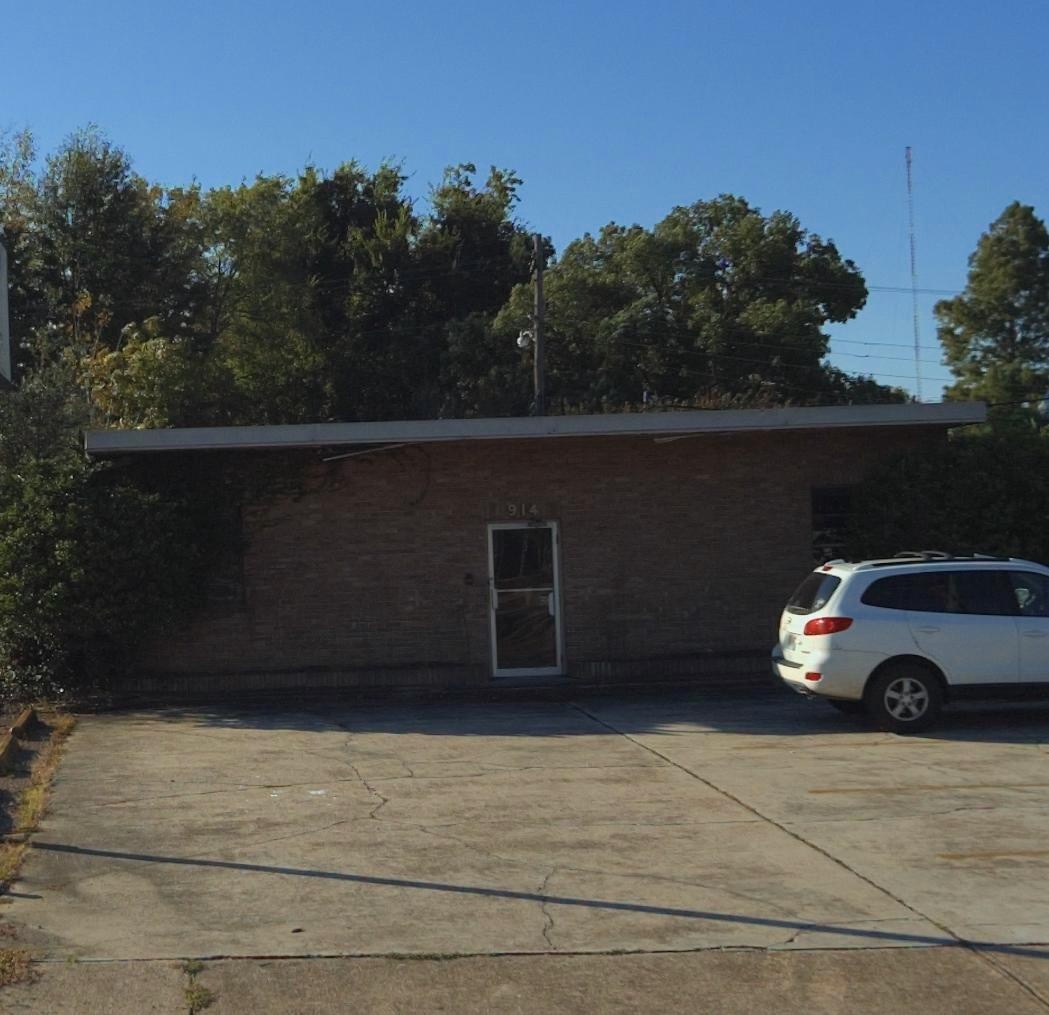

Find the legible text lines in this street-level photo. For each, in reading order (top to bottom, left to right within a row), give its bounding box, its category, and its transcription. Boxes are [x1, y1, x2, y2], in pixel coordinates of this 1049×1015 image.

[506, 502, 540, 518] StreetNumber: 914